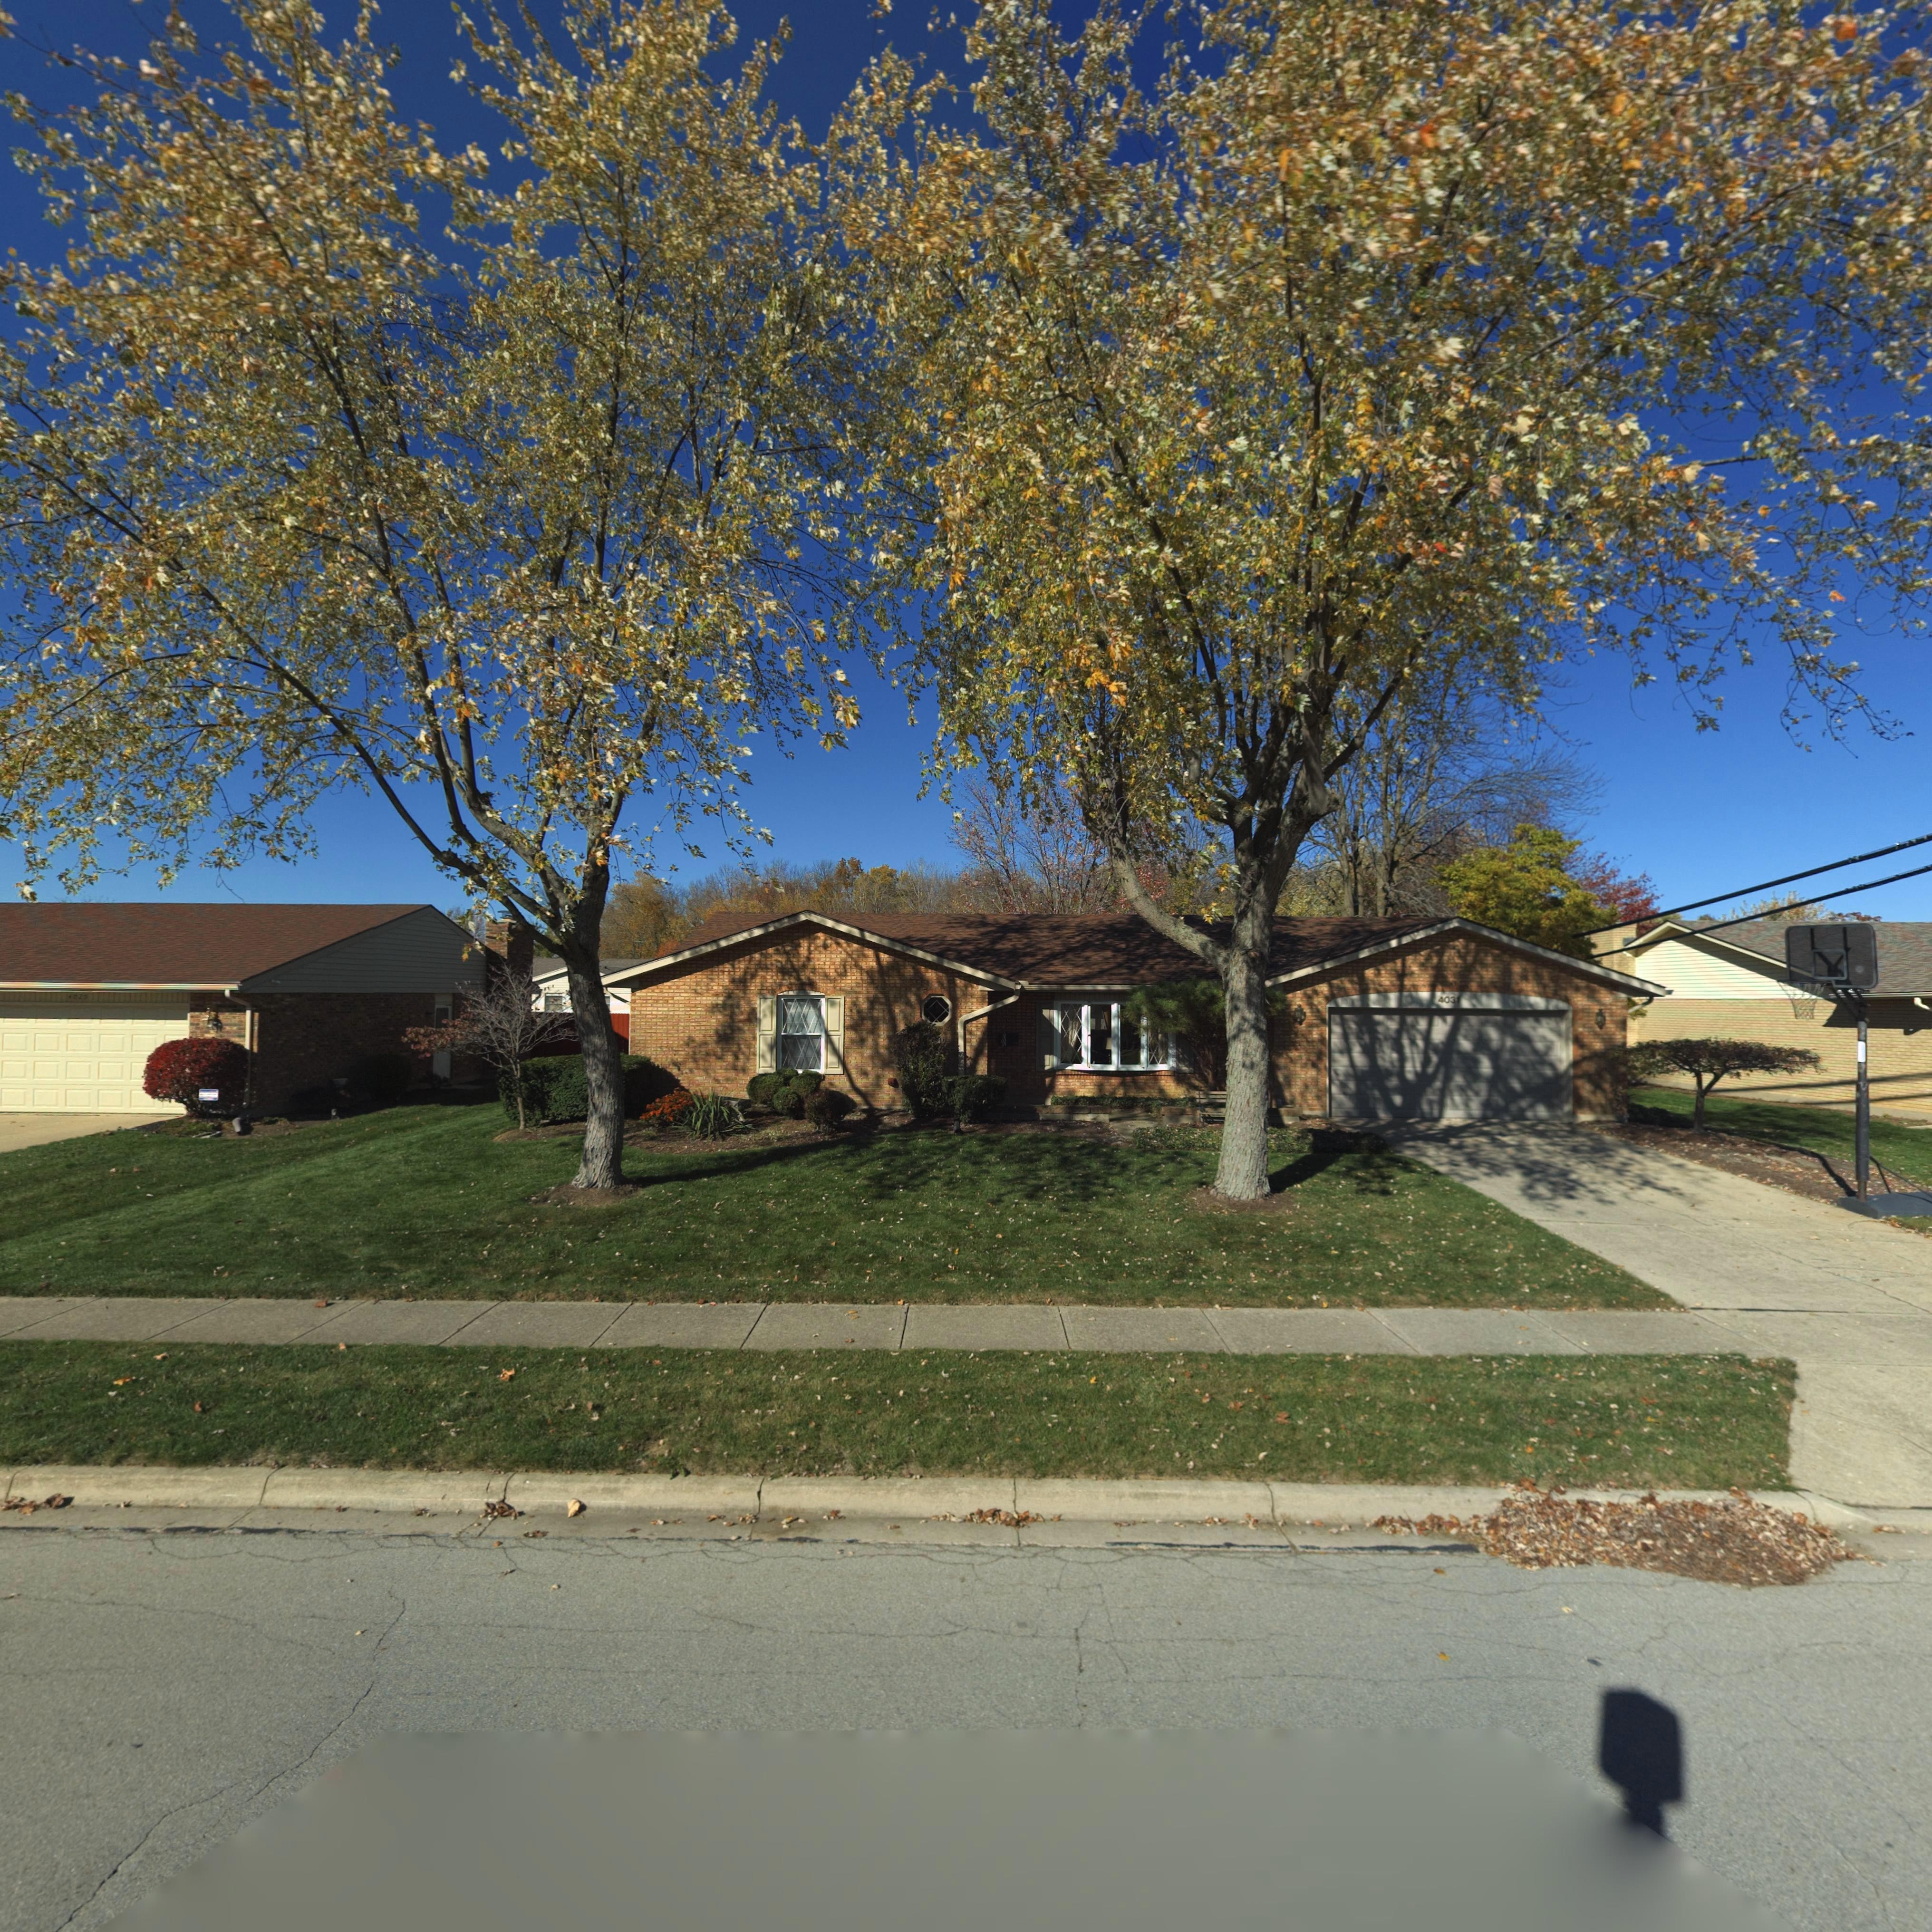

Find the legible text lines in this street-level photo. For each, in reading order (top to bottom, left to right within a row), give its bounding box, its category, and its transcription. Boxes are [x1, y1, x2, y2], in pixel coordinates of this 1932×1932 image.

[67, 993, 88, 1000] StreetNumber: 4029
[1438, 995, 1461, 1004] StreetNumber: 4031